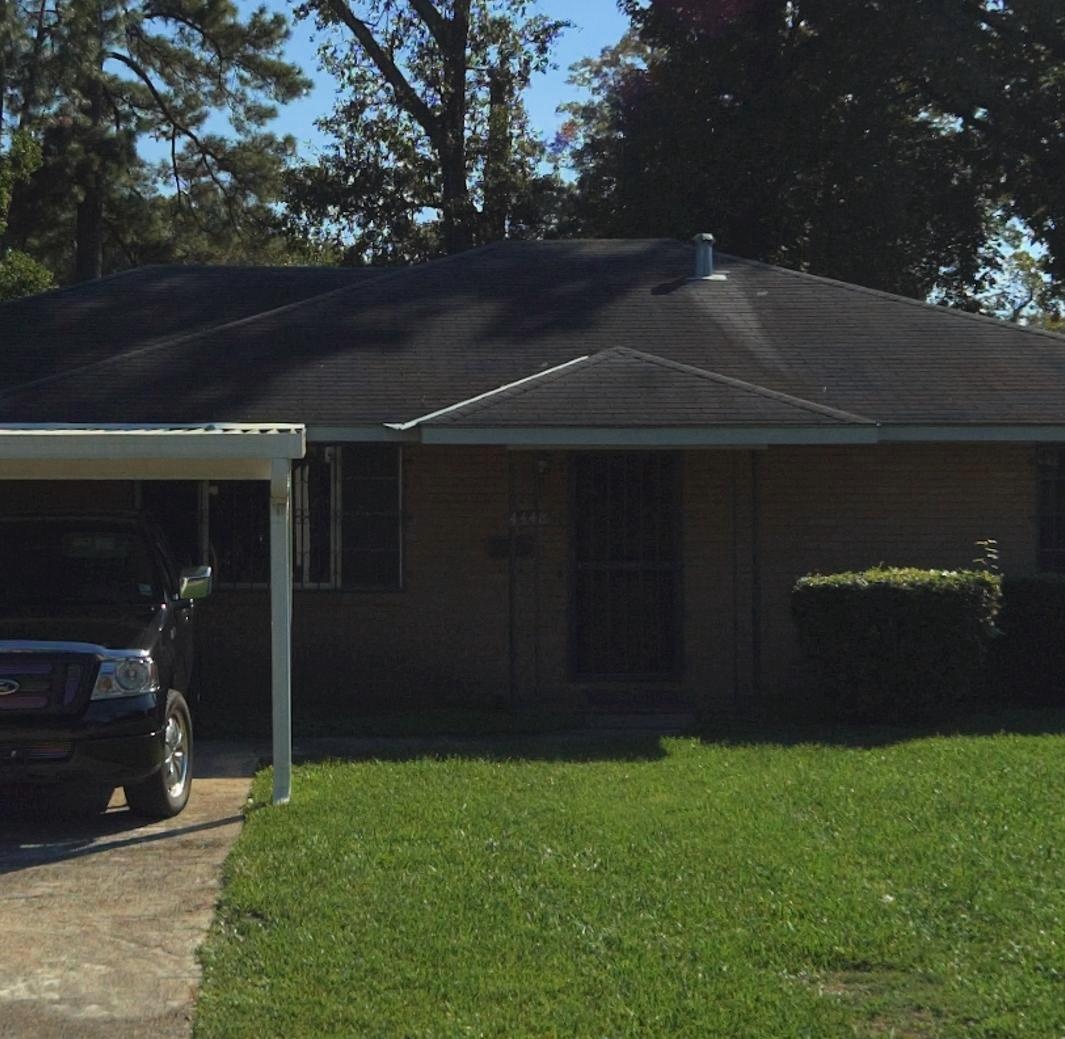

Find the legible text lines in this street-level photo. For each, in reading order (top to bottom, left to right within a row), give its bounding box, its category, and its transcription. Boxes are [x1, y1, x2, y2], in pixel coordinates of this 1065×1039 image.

[509, 510, 550, 526] StreetNumber: 444*